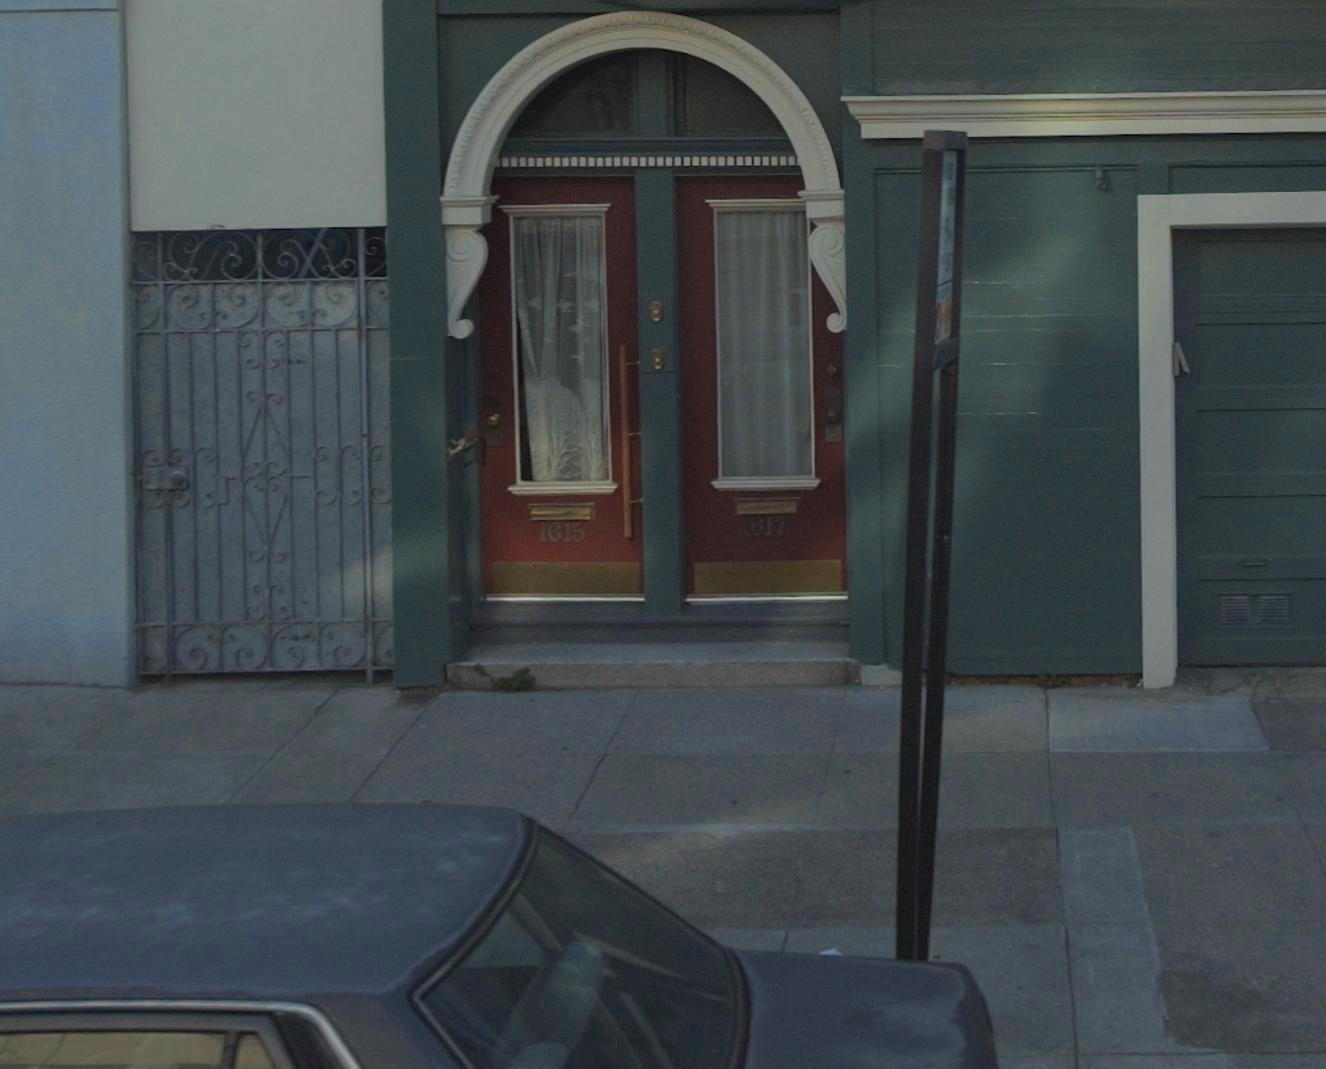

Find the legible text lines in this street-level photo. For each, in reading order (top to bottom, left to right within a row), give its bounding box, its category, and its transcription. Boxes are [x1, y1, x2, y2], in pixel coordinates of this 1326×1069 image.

[535, 518, 587, 545] StreetNumber: 1615
[738, 512, 787, 539] StreetNumber: 1617